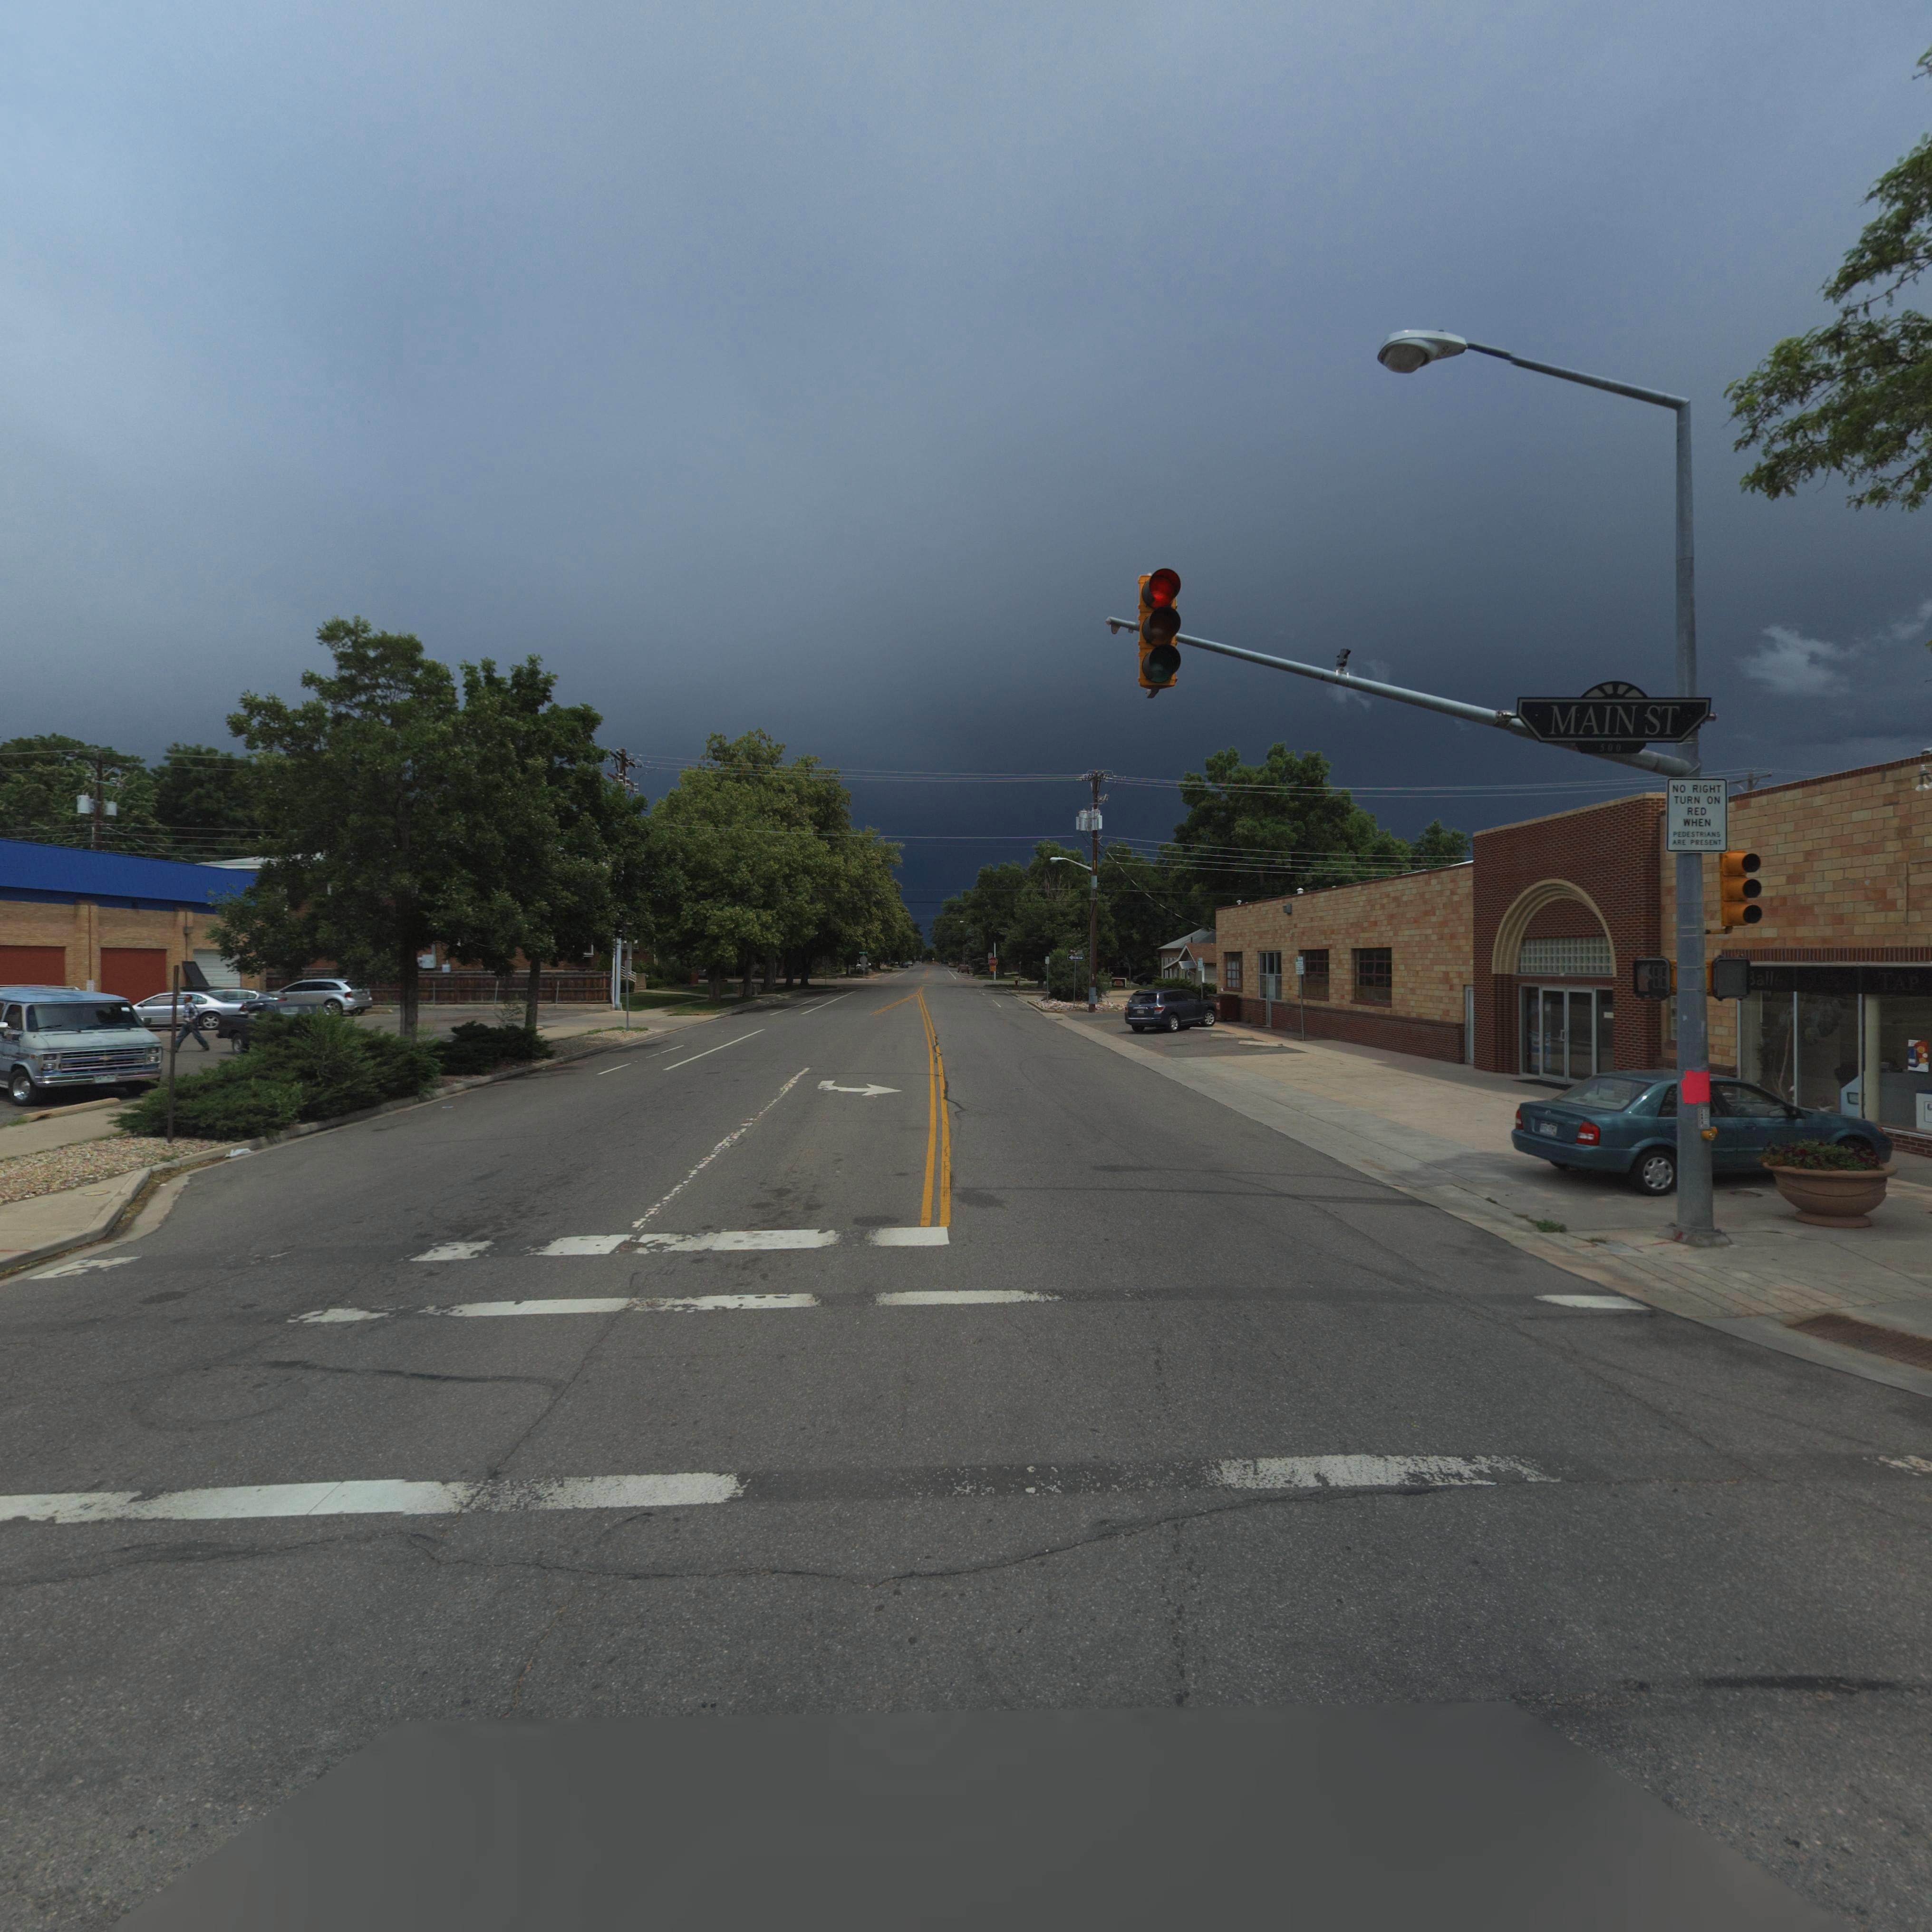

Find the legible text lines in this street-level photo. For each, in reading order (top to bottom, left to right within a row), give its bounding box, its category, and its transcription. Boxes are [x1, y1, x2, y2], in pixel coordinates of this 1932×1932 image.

[1547, 704, 1681, 736] StreetName: MAIN ST
[1598, 742, 1622, 753] StreetName: 500